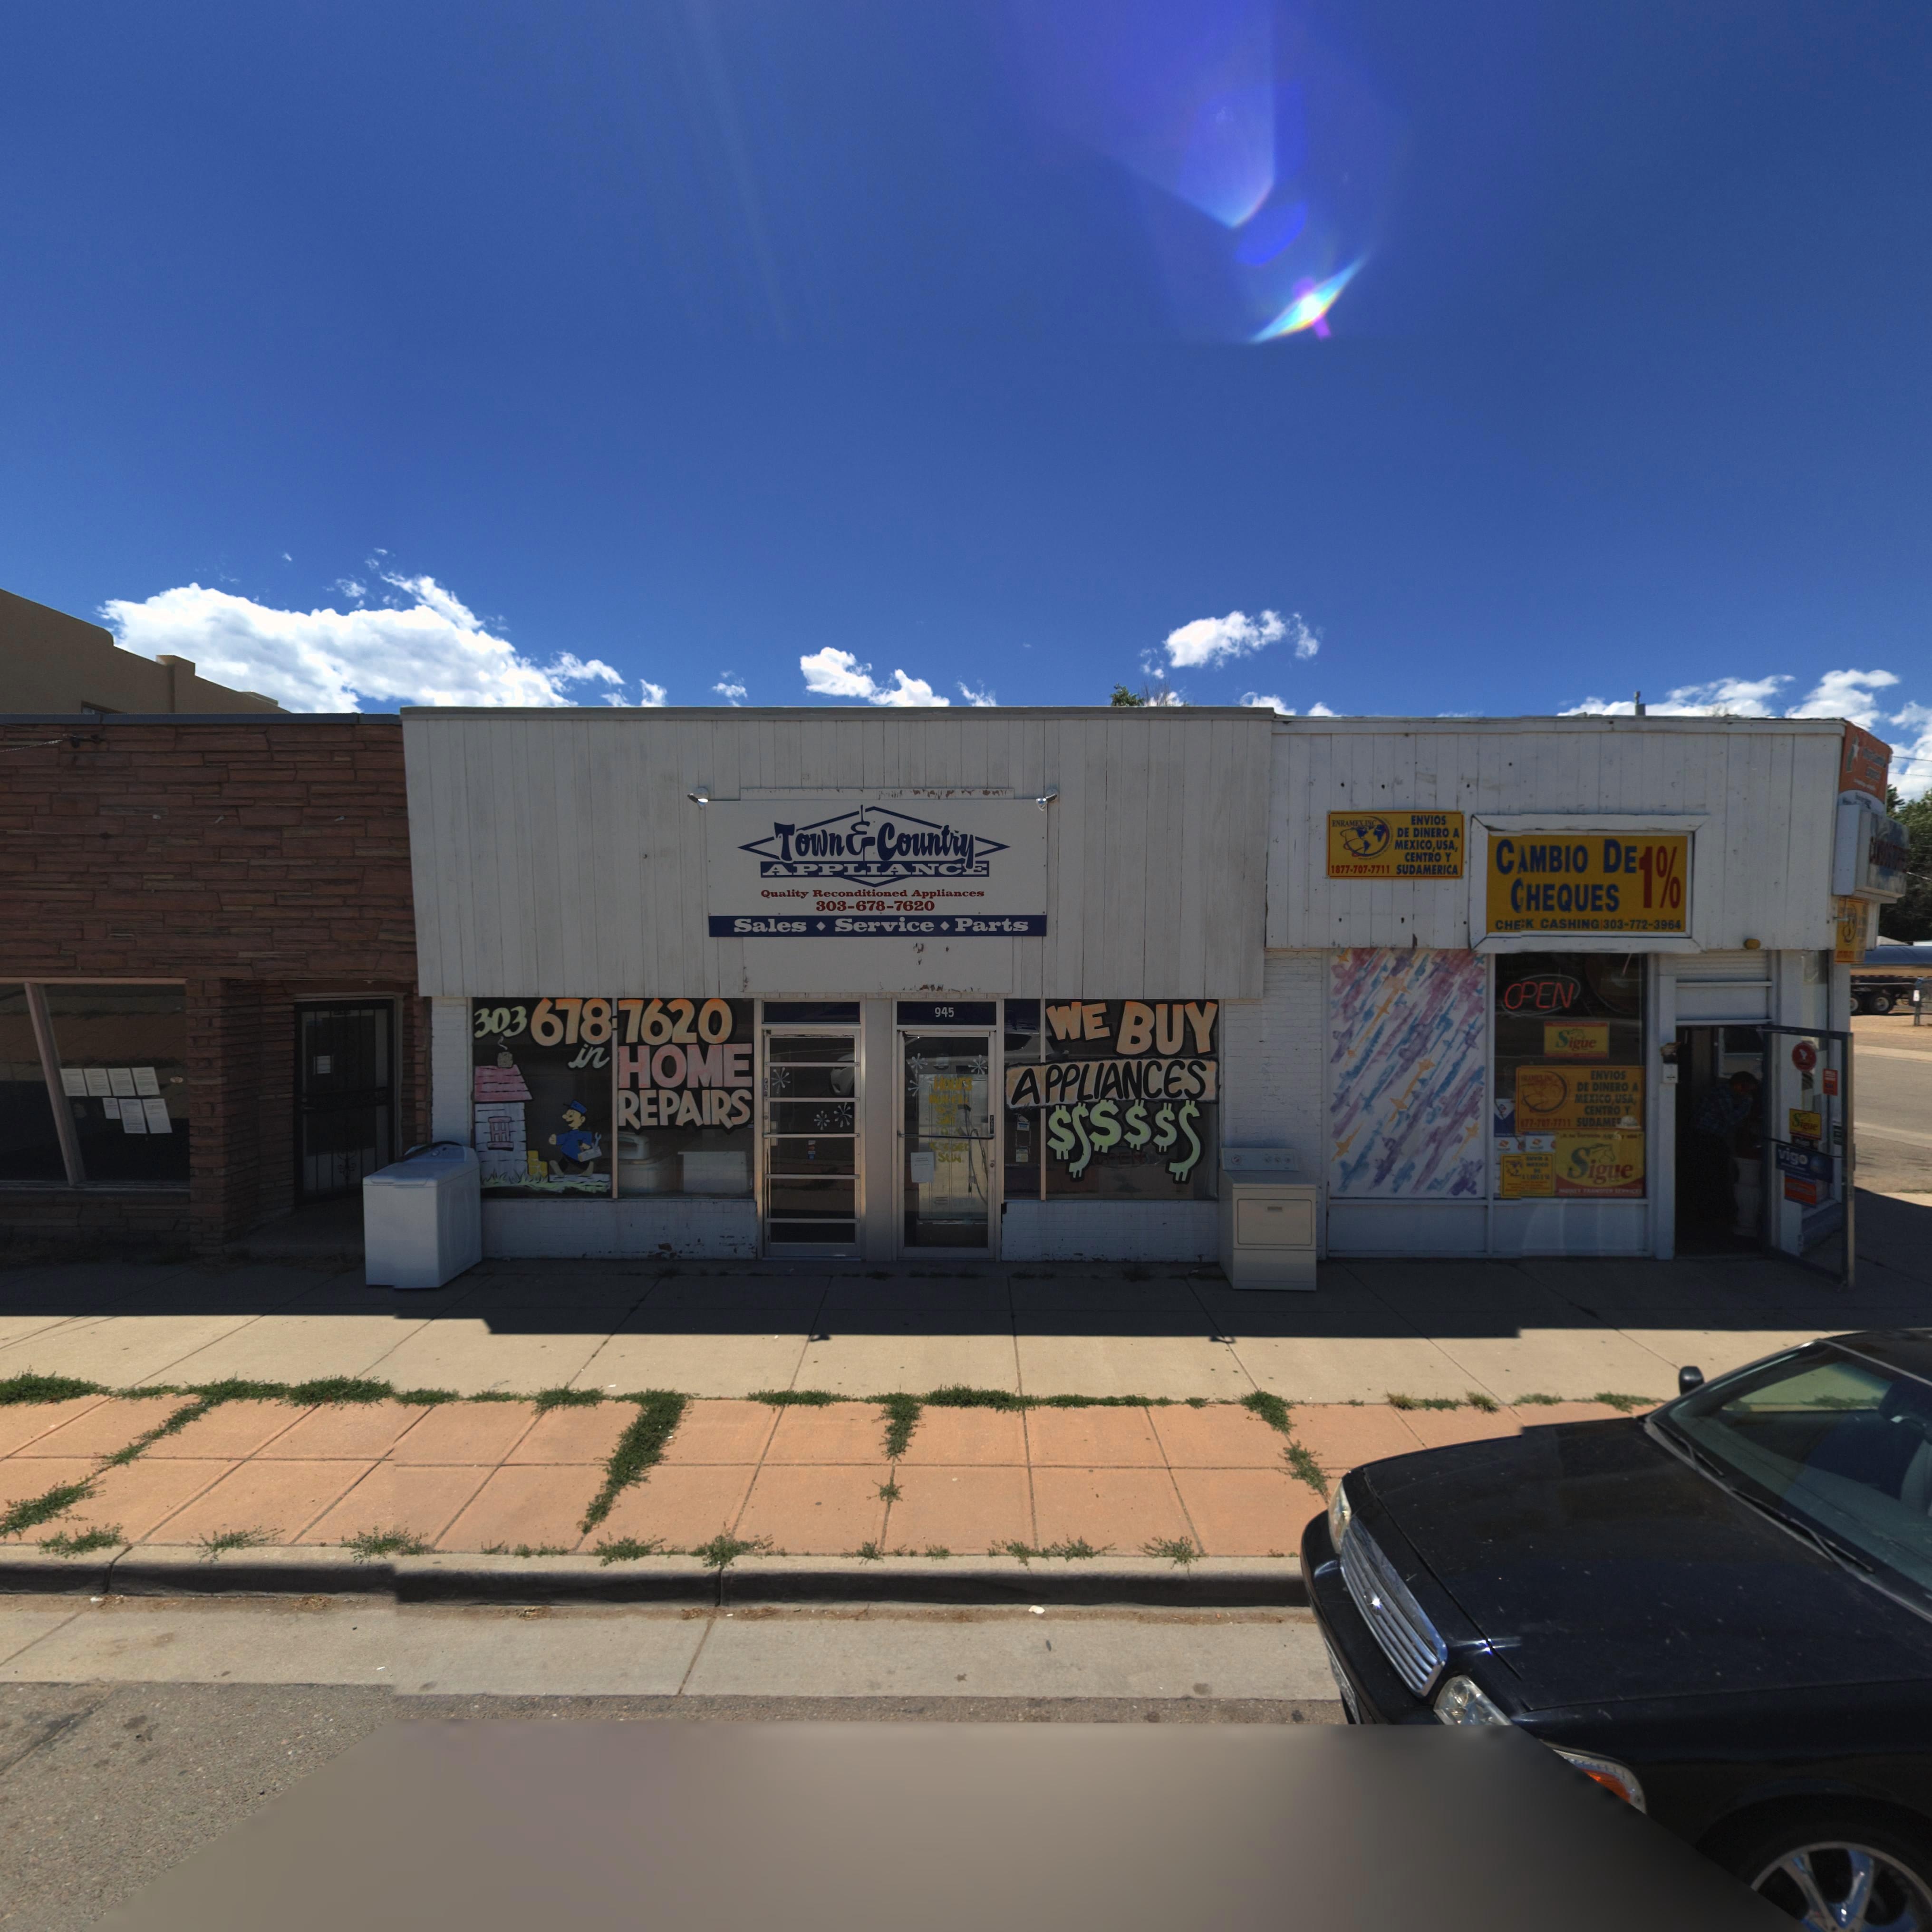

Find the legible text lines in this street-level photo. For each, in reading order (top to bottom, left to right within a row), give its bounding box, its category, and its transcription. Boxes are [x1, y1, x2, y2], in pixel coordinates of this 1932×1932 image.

[773, 804, 974, 869] BusinessName: Town * Country
[762, 863, 987, 875] BusinessName: APPLIANCE
[1868, 835, 1911, 873] BusinessName: CAMBIOS TORRES
[935, 1006, 954, 1017] StreetNumber: 945